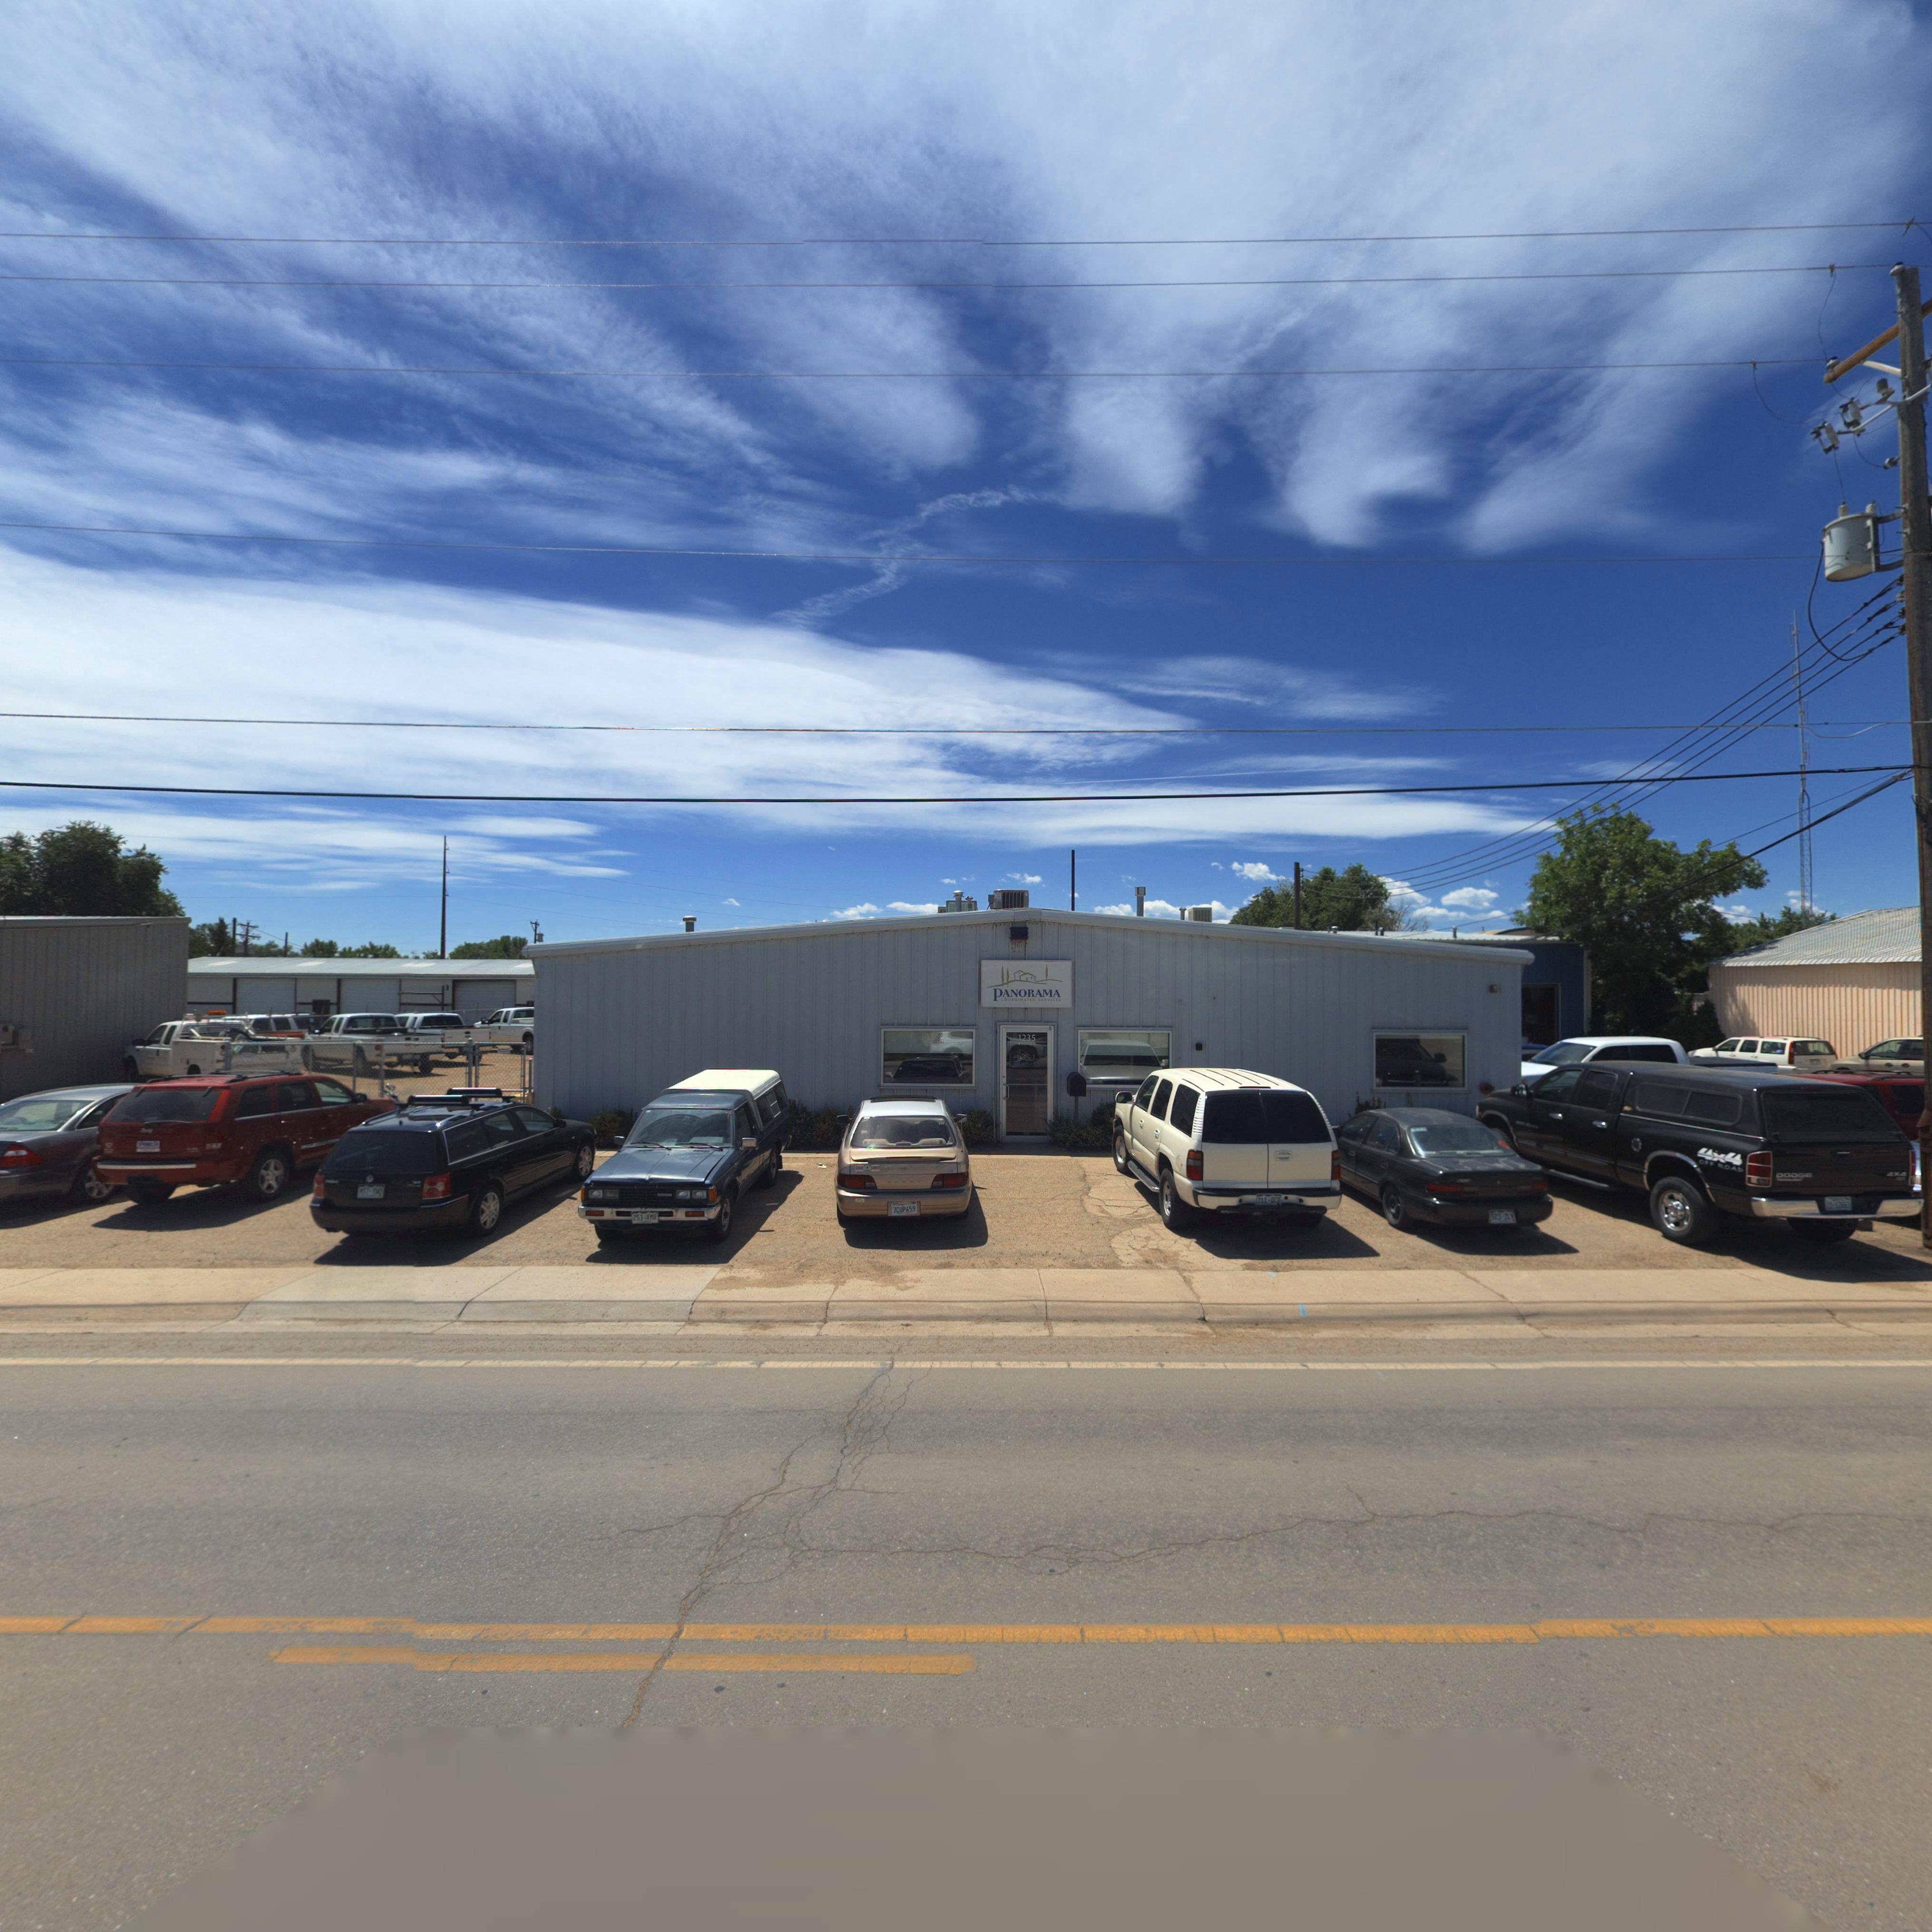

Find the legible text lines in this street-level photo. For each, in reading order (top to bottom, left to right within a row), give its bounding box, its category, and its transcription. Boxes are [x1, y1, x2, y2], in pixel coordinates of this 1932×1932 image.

[992, 987, 1061, 1001] BusinessName: PANORAMA
[1000, 997, 1061, 1002] BusinessName: COORDINATED SERVICES
[1017, 1034, 1035, 1041] StreetNumber: 1235
[1018, 1042, 1035, 1045] StreetName: BOSTON